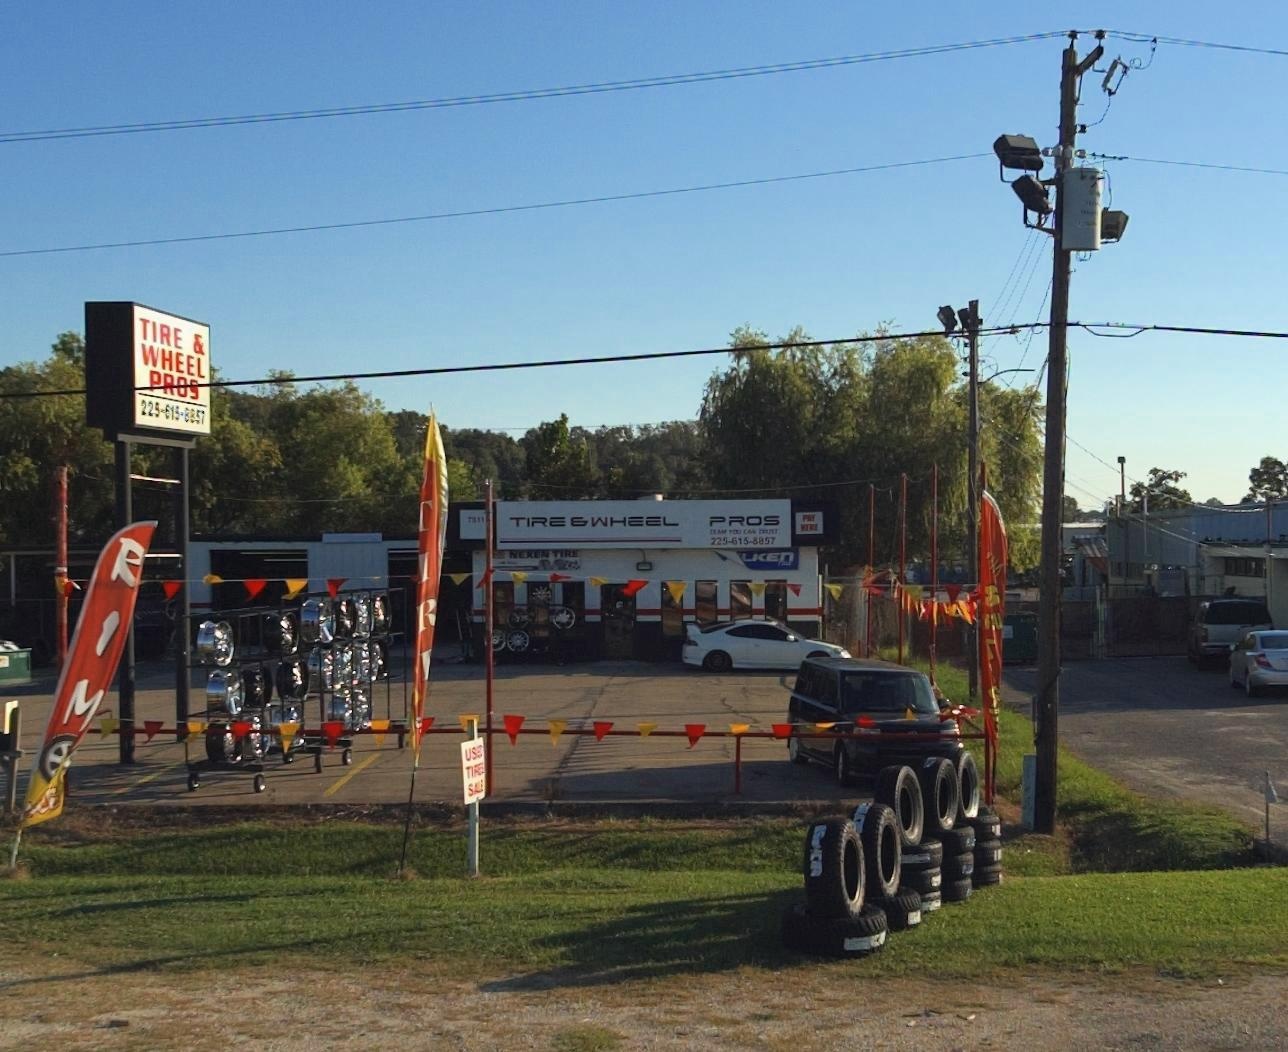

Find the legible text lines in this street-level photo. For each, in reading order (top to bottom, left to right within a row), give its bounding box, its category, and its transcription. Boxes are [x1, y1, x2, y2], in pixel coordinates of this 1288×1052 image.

[137, 315, 185, 353] BusinessName: TIRE
[138, 340, 207, 381] BusinessName: WHEEL
[138, 398, 207, 427] None: 225-615-**57
[465, 514, 486, 525] StreetNumber: 7*11
[507, 514, 681, 530] BusinessName: TIRE & WEEL
[707, 513, 783, 529] BusinessName: PROS
[708, 534, 779, 548] None: 225-615-*857
[507, 548, 581, 560] None: NE*EN TIRE
[740, 550, 796, 564] None: LKEN
[59, 531, 149, 737] None: RIM
[462, 743, 480, 765] None: US
[462, 763, 473, 782] None: T
[465, 780, 476, 800] None: S